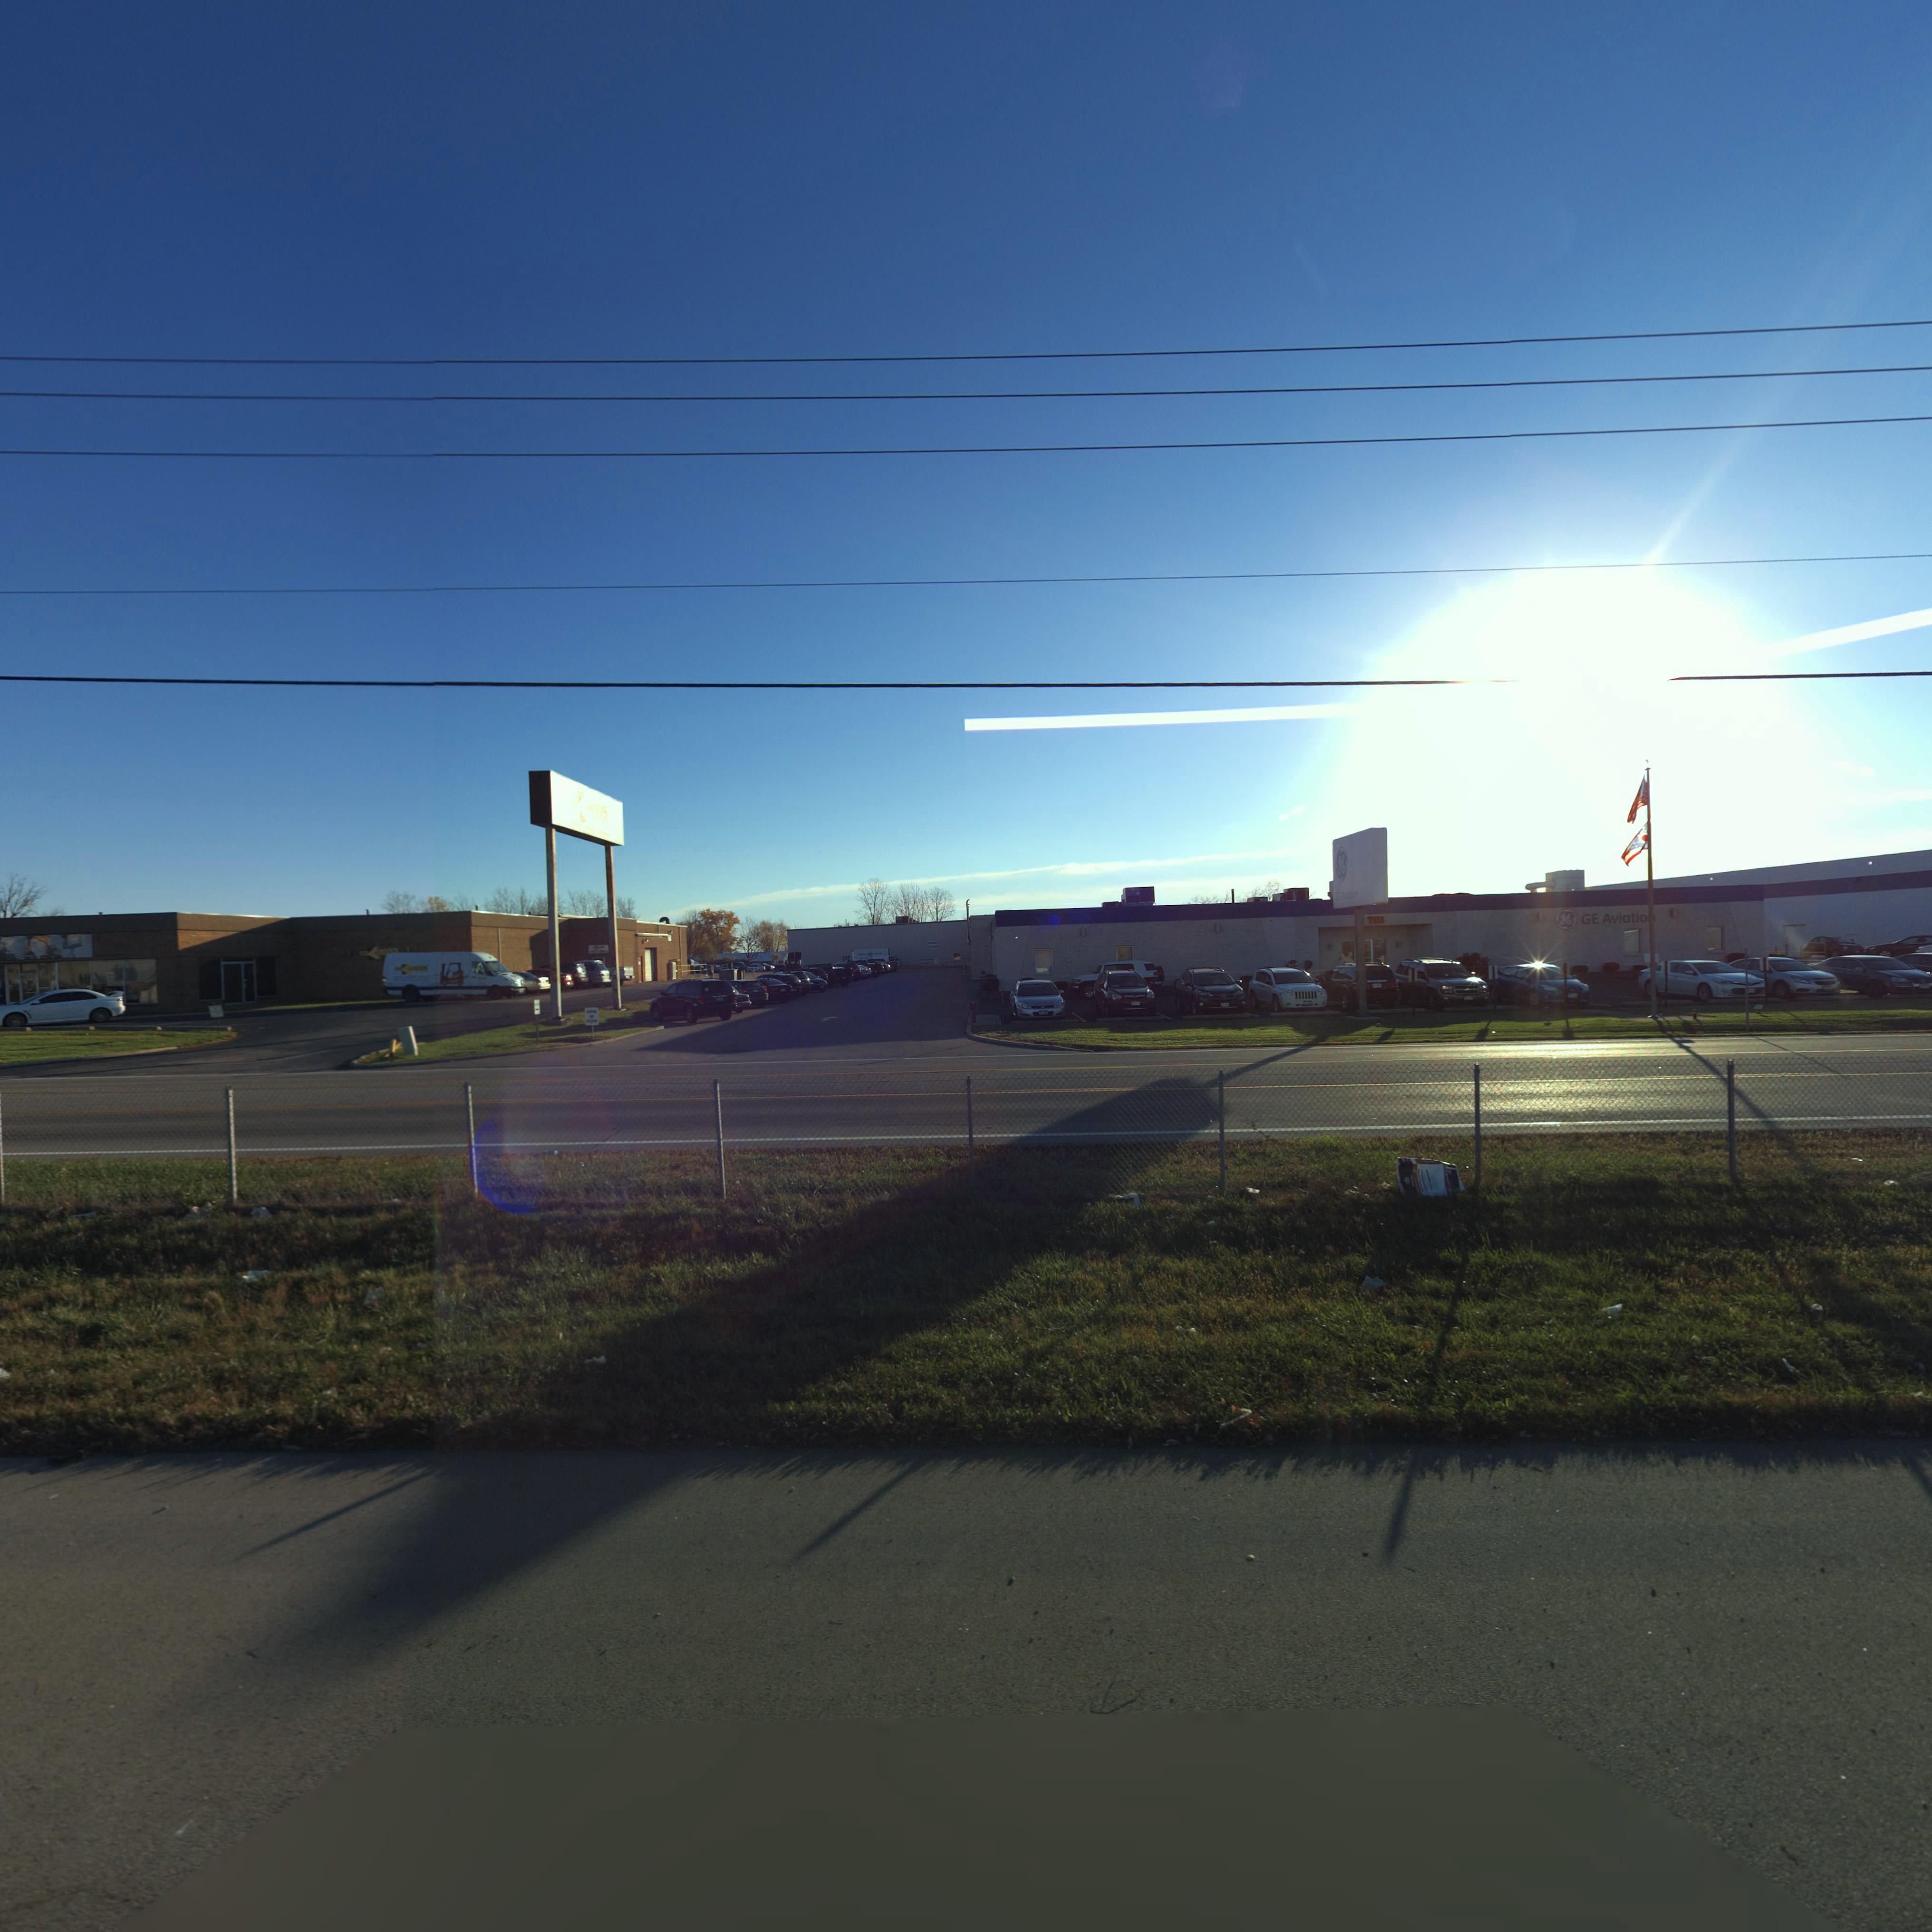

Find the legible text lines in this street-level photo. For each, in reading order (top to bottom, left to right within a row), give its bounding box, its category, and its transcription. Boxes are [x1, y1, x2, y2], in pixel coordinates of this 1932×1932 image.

[1366, 915, 1386, 926] StreetNumber: 701
[1558, 913, 1573, 927] BusinessName: gE
[1581, 912, 1648, 926] BusinessName: GE AViatio